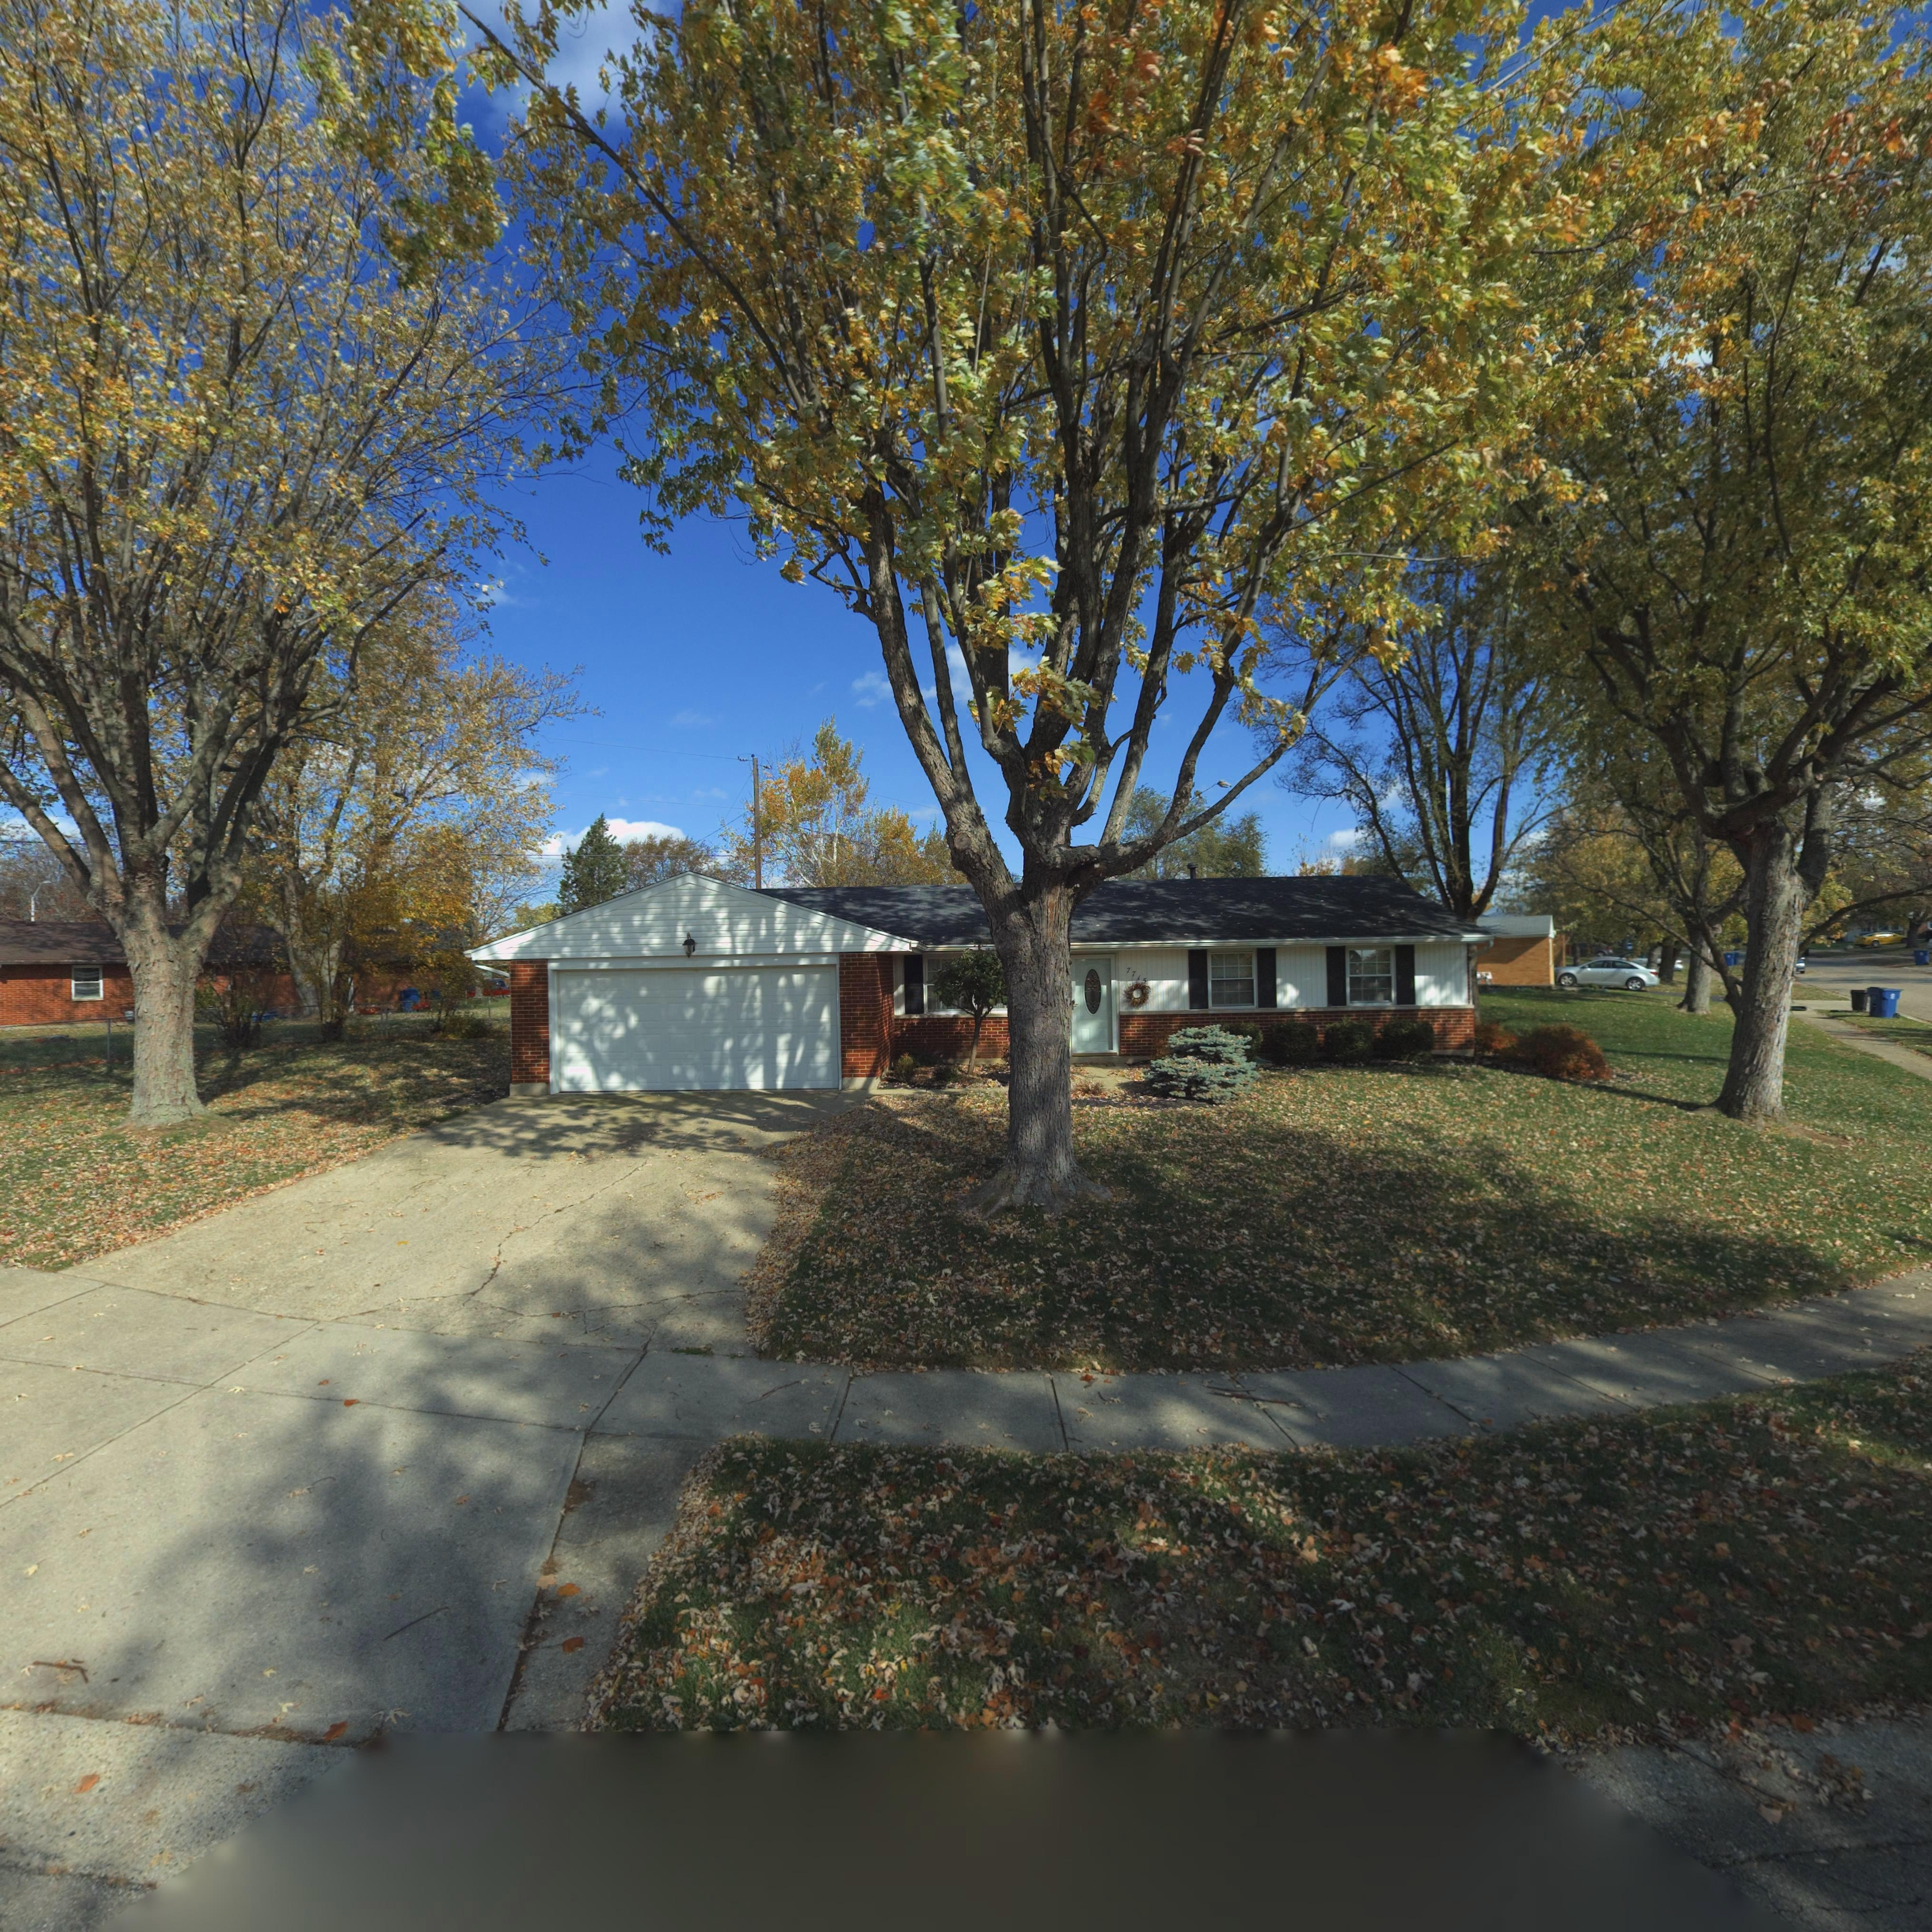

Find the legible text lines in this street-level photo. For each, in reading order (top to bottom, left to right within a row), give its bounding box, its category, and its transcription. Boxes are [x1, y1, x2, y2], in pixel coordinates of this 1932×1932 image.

[1126, 967, 1147, 984] StreetNumber: 7715